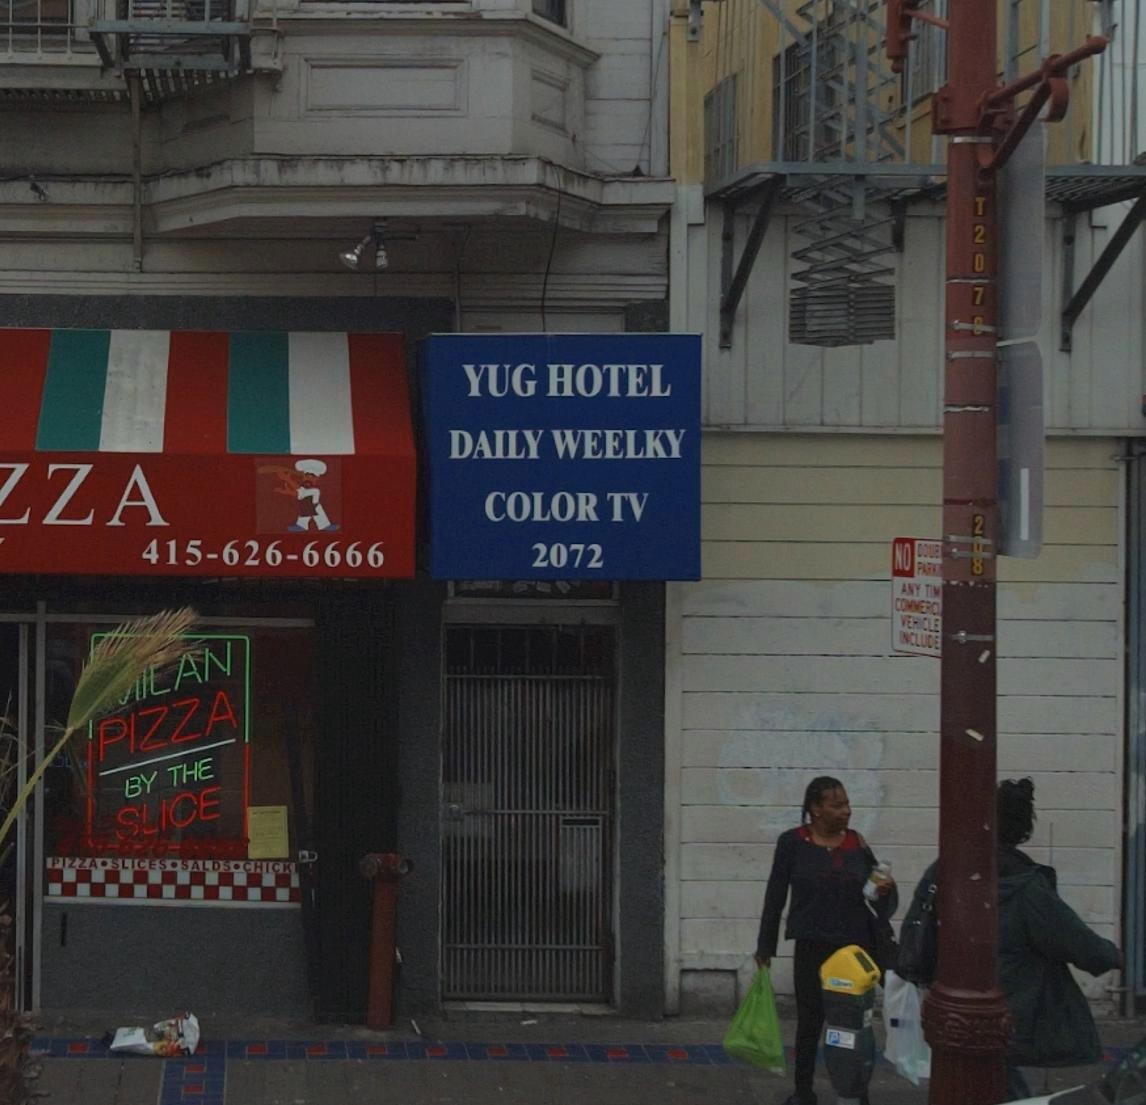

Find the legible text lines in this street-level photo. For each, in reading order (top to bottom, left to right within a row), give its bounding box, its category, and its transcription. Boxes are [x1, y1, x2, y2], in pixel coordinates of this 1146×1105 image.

[971, 195, 986, 337] None: T207*
[460, 362, 672, 399] BusinessName: YUG HOTEL
[446, 428, 687, 460] None: DAILY WEEKLY
[39, 459, 173, 528] BusinessName: ZA
[483, 489, 651, 524] None: COLOR TV
[138, 535, 388, 569] None: 415-626-6666
[529, 541, 604, 570] StreetNumber: 2072
[893, 540, 912, 573] None: NO
[916, 560, 939, 578] None: PARK
[916, 541, 941, 559] None: DOUB
[971, 514, 985, 575] None: 2*8
[893, 596, 941, 617] None: COMMERCI
[899, 580, 941, 600] None: ANY TIM
[897, 628, 940, 650] None: INCLUDE
[898, 613, 941, 635] None: VEHICLE
[149, 640, 232, 699] BusinessName: LAN
[98, 688, 240, 764] BusinessName: PIZZA
[123, 755, 215, 801] None: BY THE
[113, 783, 222, 843] None: SLICE
[50, 857, 293, 873] None: PIZZA*SLICES*SALDS*CHICK